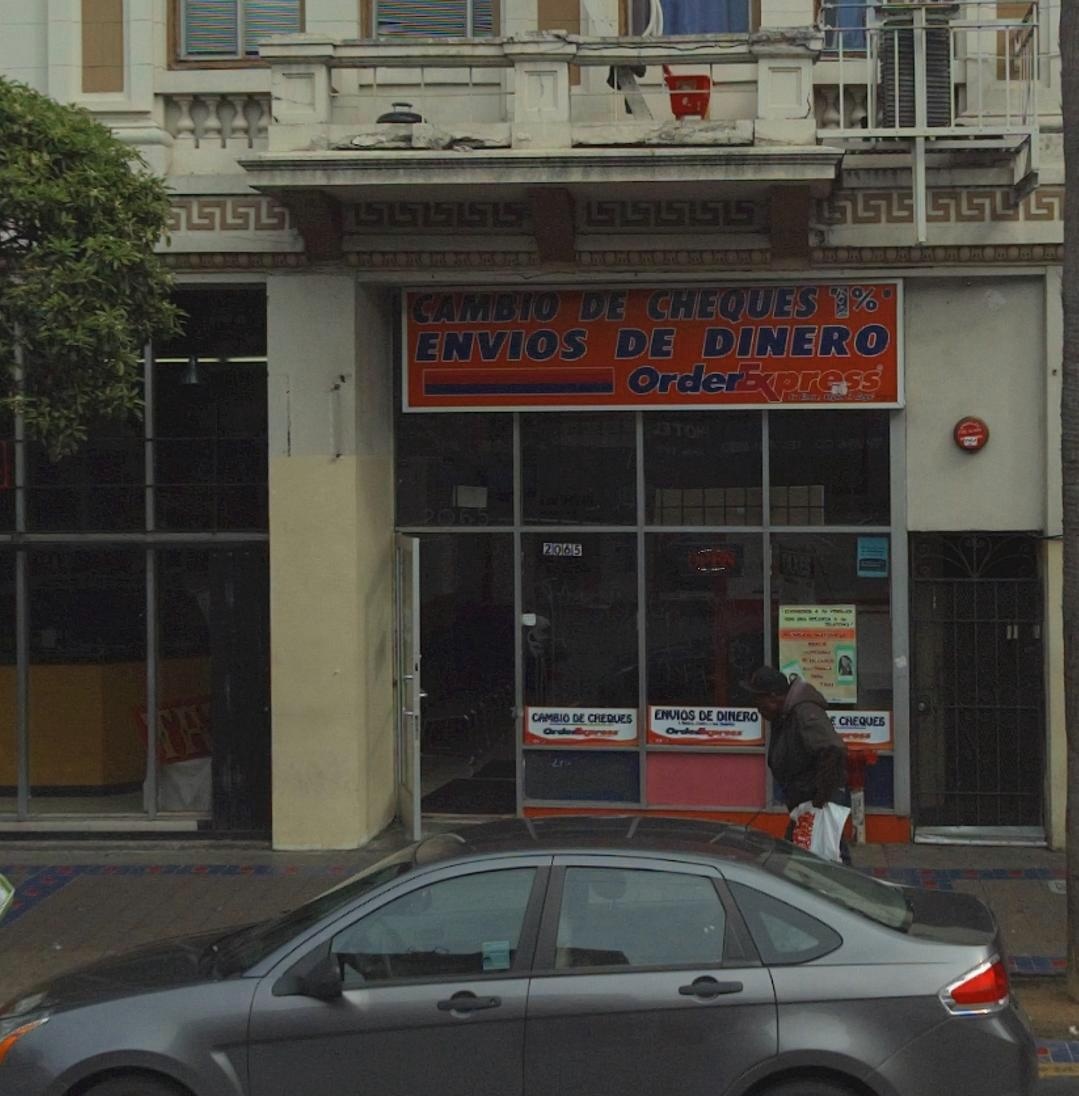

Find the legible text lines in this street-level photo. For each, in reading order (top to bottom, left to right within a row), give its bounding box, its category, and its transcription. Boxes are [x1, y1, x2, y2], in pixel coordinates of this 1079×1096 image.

[409, 285, 851, 325] None: CAMBIO DE CHEQUES 1
[412, 322, 890, 364] None: ENVIOS DE DINERO
[626, 361, 882, 403] BusinessName: OrderExpress
[420, 507, 490, 527] StreetNumber: 2065
[544, 542, 583, 557] StreetNumber: 2065
[686, 551, 737, 570] None: OPEN
[780, 551, 812, 578] None: TAXES
[168, 701, 222, 754] None: A
[541, 726, 621, 737] BusinessName: OrderExpress
[530, 711, 633, 724] None: CAMBIO DE CHEQUES
[664, 726, 744, 738] BusinessName: OrderExpress
[654, 708, 759, 723] None: ENVIOS DE DINERO
[839, 715, 886, 728] None: CHEQUES